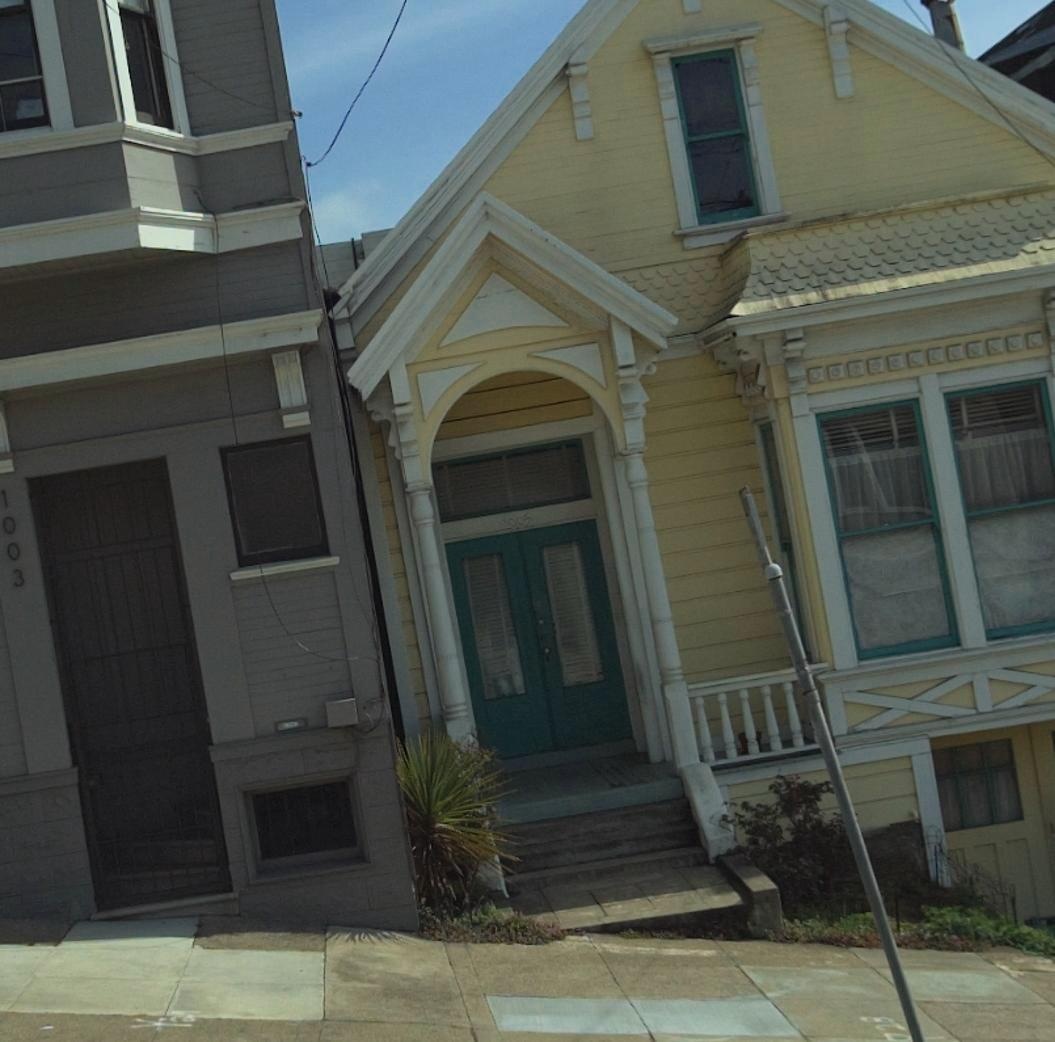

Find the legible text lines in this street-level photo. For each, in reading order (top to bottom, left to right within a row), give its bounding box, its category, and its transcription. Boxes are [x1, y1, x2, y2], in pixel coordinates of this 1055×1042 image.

[0, 483, 30, 594] StreetNumber: 1003
[499, 516, 537, 532] StreetNumber: 100*